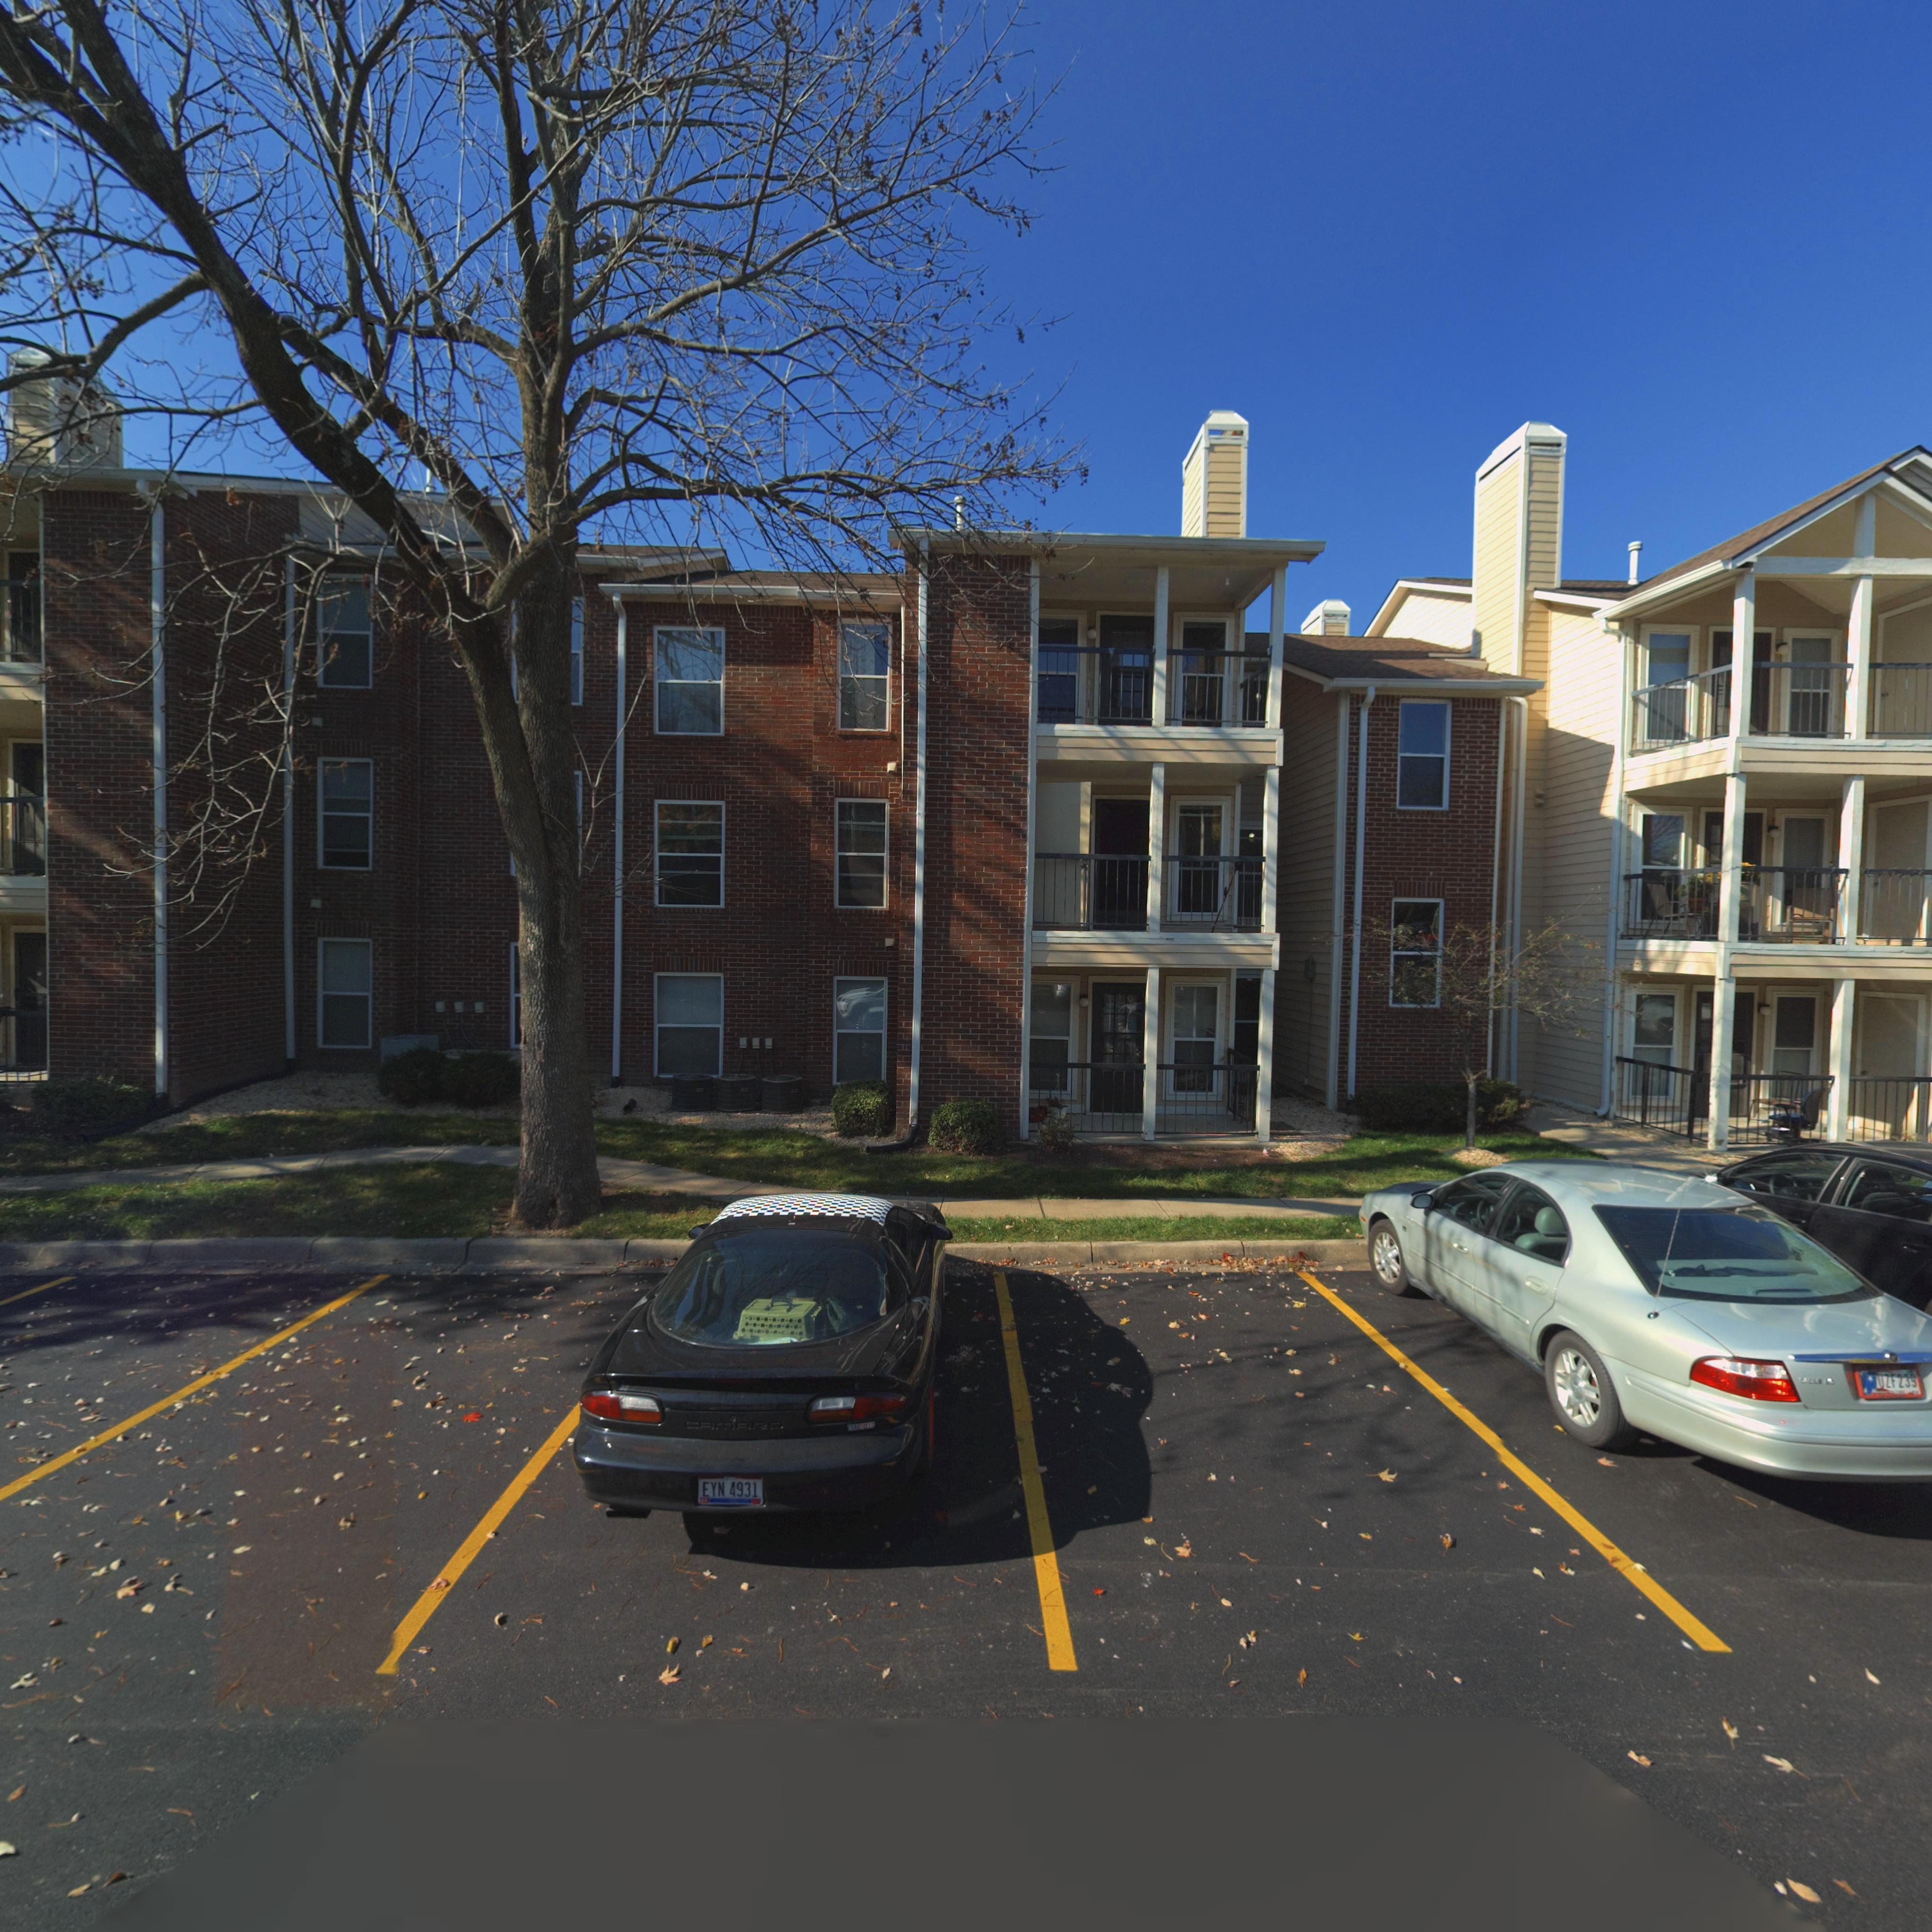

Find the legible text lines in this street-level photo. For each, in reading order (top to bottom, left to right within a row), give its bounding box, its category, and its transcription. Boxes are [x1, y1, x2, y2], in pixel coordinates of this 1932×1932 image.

[1875, 1372, 1918, 1390] None: UZF239
[701, 1480, 759, 1499] None: EYN 4931